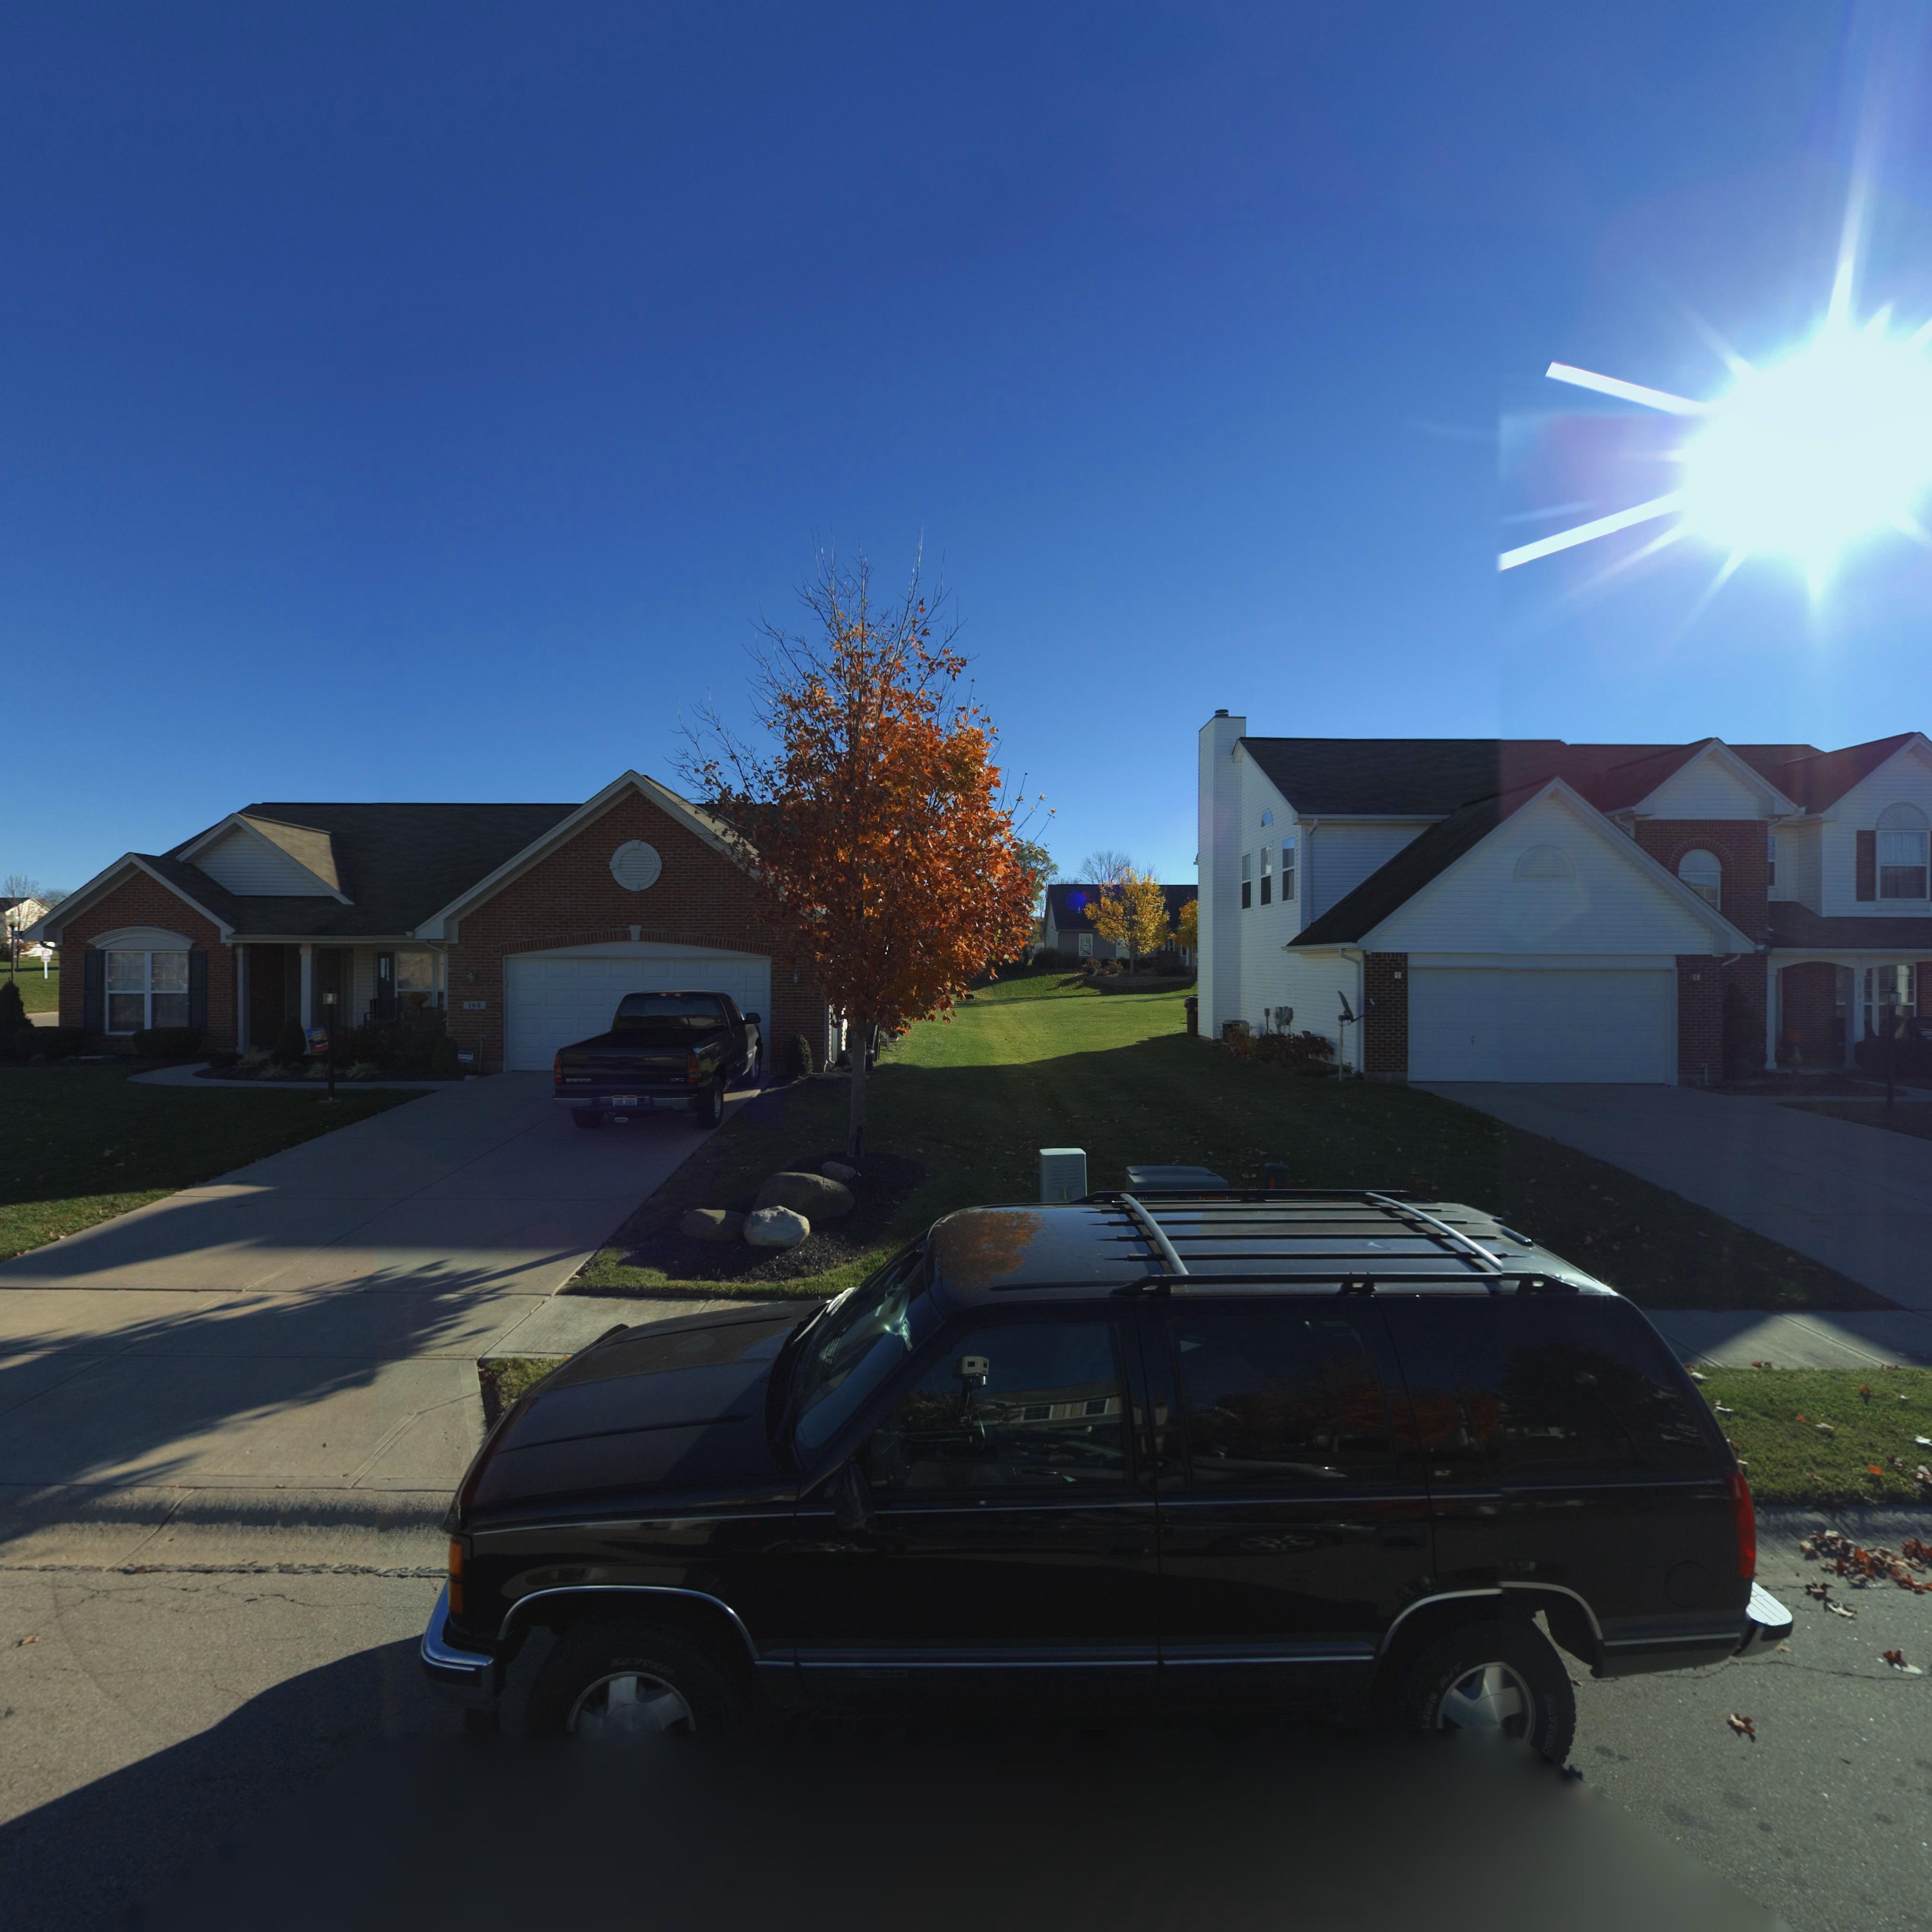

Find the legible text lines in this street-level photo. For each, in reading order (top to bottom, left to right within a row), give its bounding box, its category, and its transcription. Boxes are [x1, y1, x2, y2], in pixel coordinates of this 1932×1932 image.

[468, 1002, 482, 1009] StreetNumber: 193
[614, 1097, 635, 1106] None: *** 306*